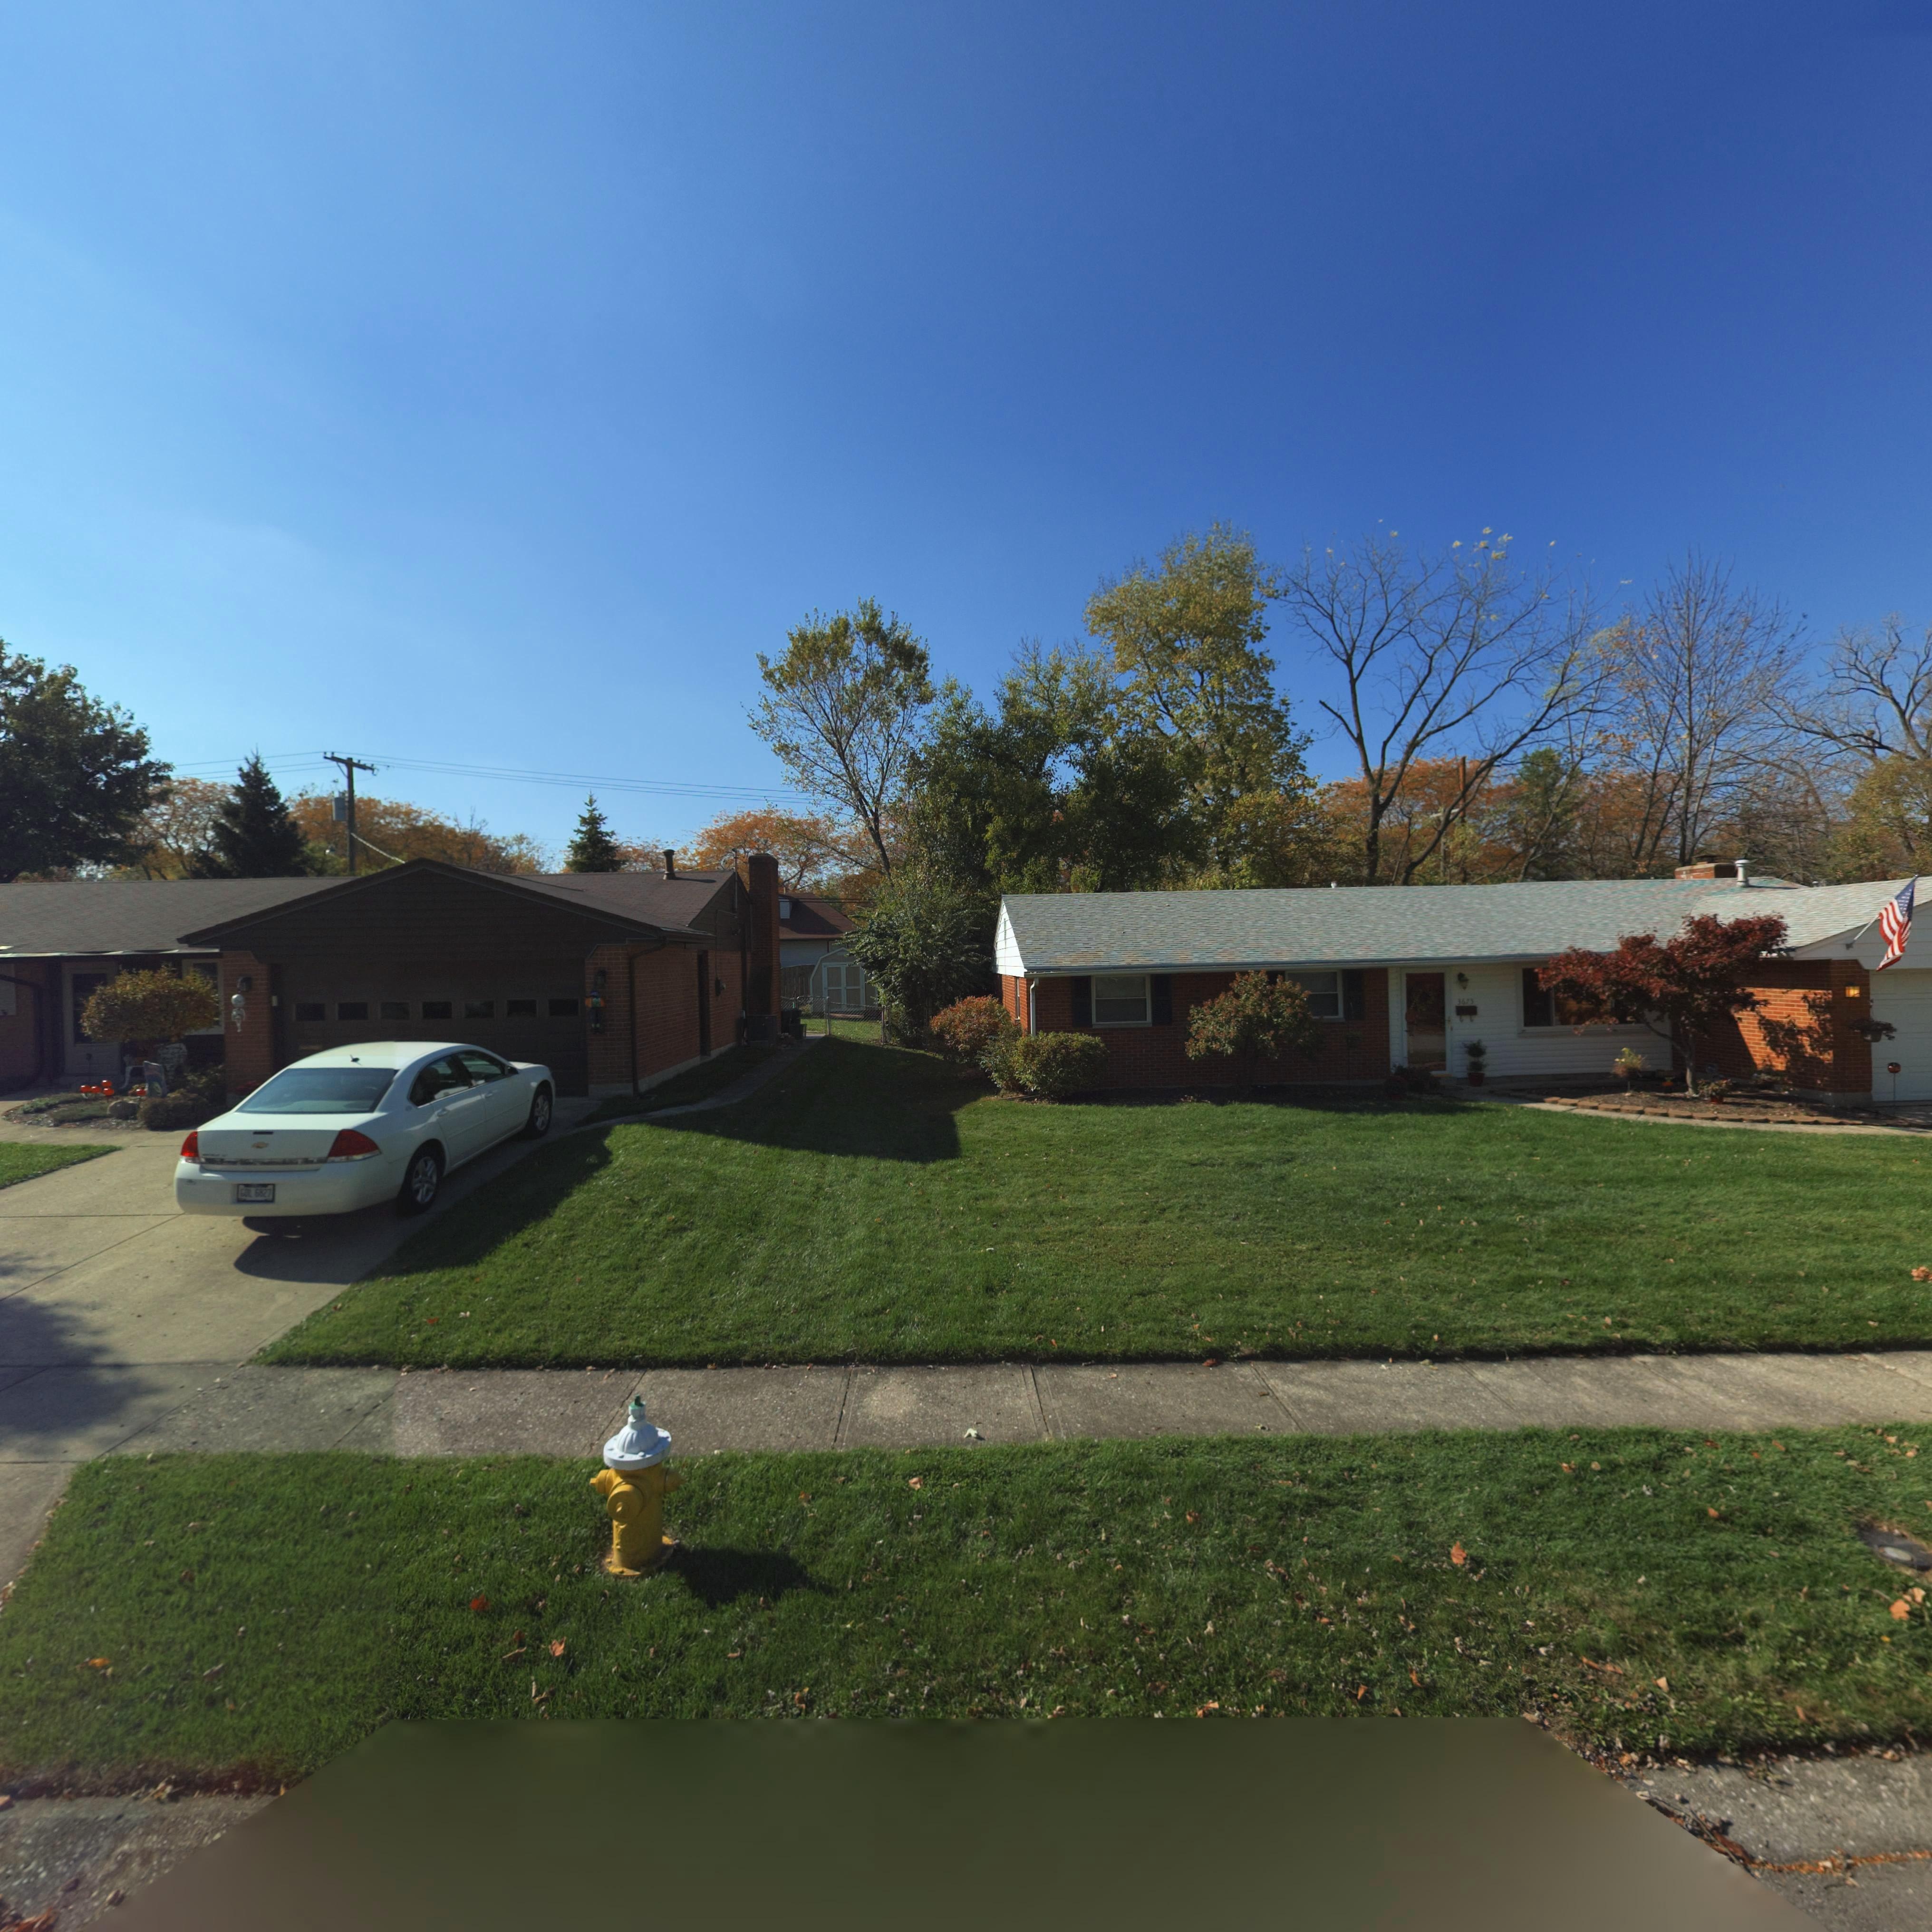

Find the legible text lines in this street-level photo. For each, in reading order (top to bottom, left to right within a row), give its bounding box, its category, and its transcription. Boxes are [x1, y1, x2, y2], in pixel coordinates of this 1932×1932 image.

[1456, 997, 1475, 1006] StreetNumber: 3675